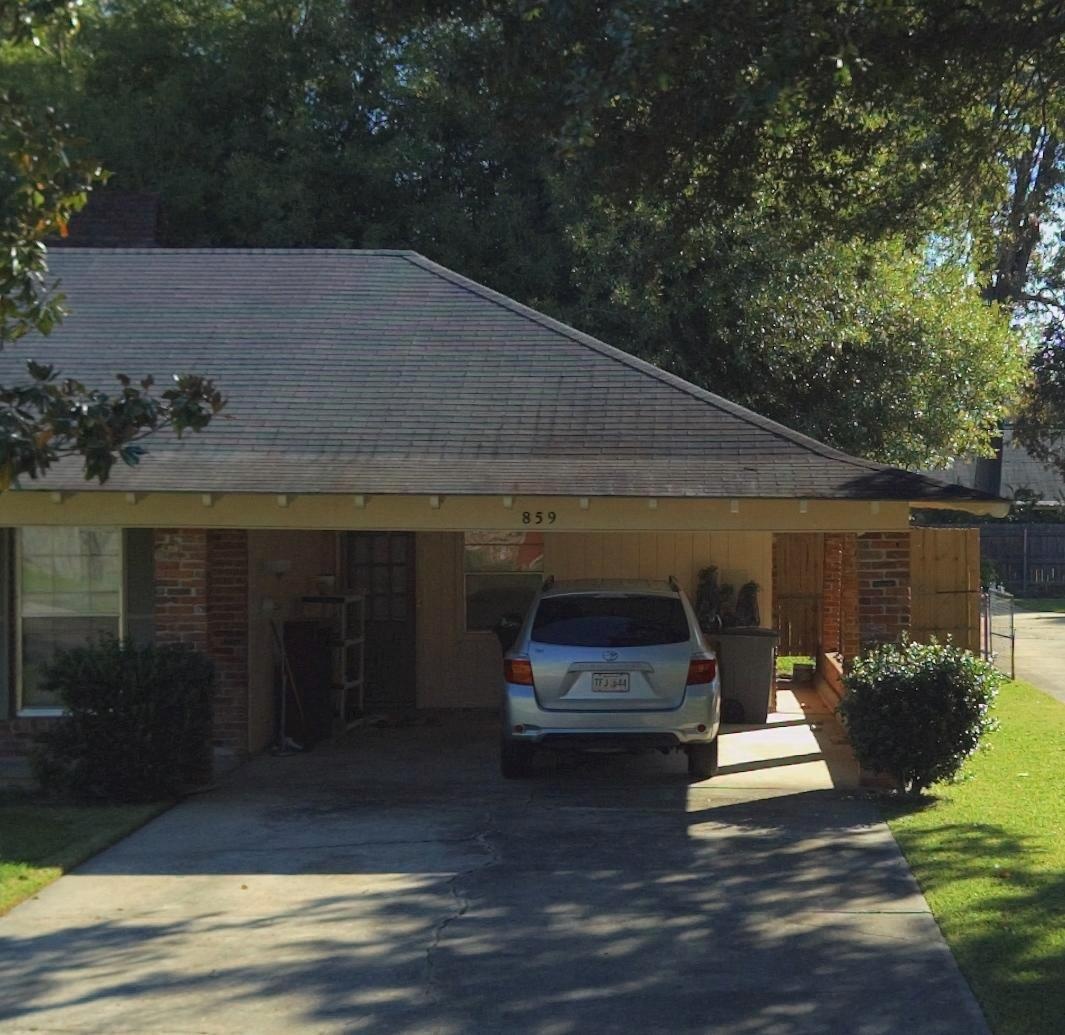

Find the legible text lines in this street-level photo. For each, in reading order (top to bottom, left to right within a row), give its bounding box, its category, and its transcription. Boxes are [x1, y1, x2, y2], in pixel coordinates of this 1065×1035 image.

[520, 509, 559, 526] StreetNumber: 859
[592, 676, 629, 691] None: TFJ*644